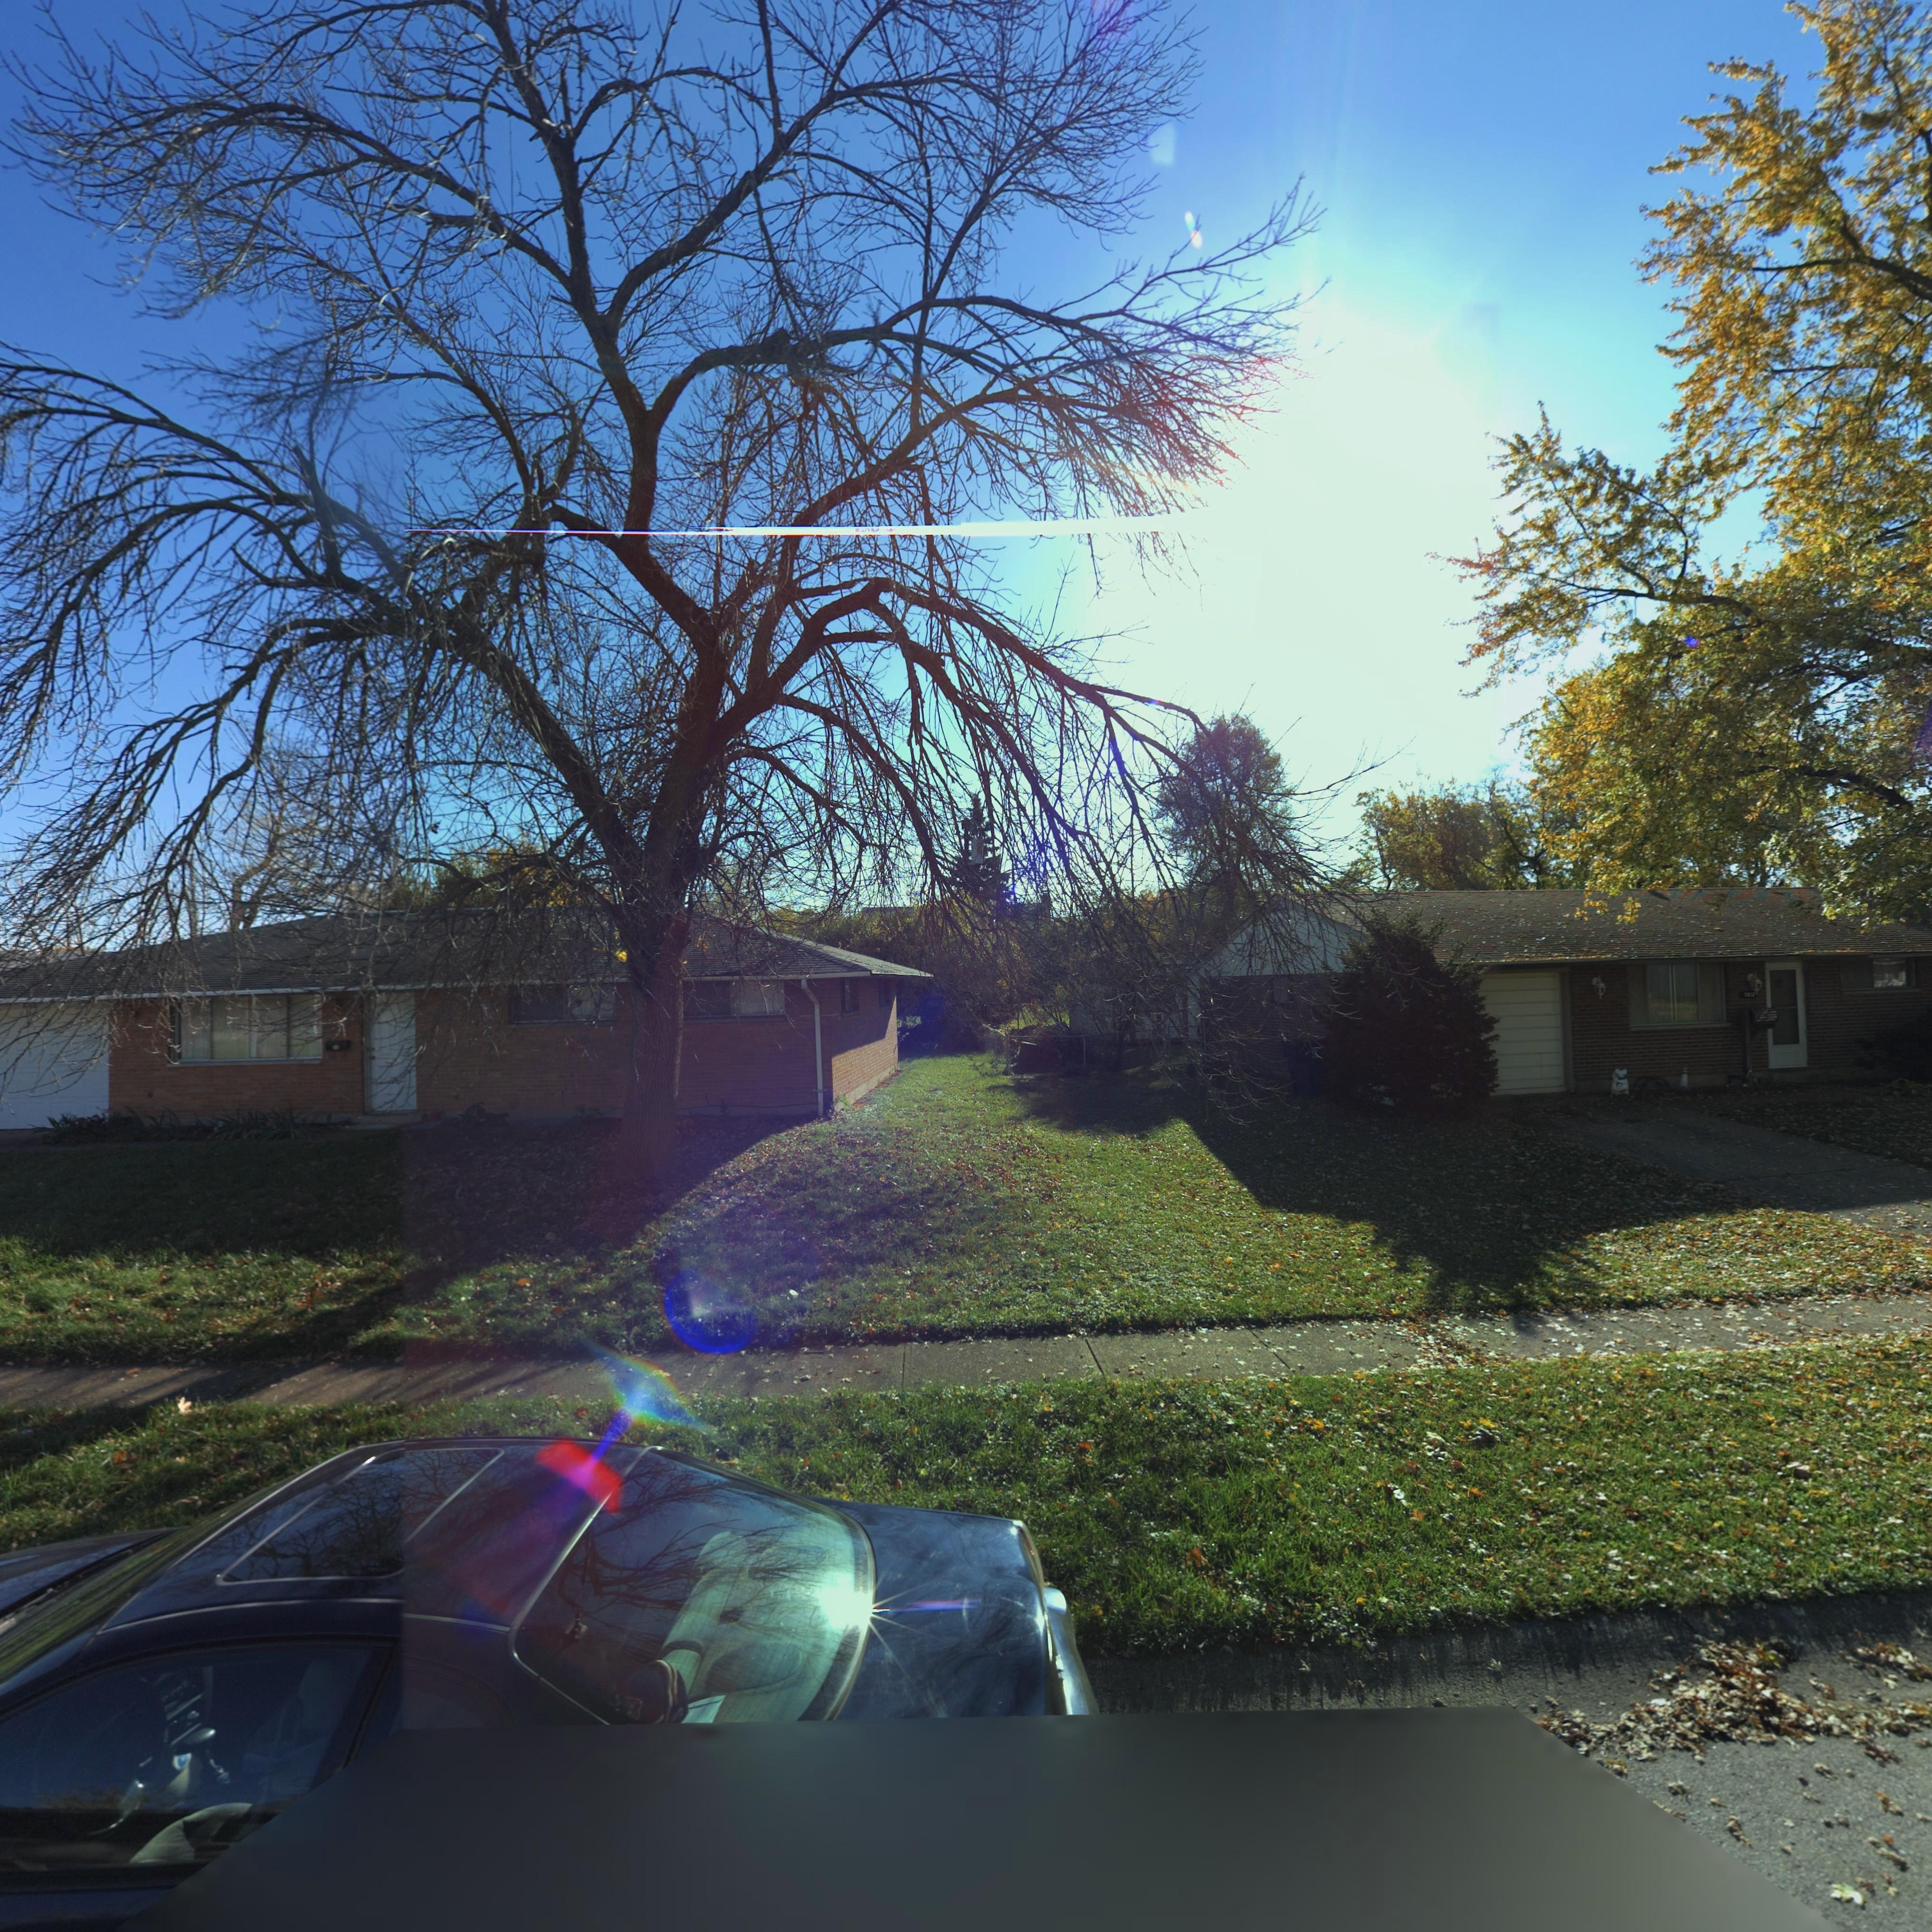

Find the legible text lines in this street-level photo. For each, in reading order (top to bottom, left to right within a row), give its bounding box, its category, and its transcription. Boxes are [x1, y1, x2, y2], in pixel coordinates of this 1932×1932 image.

[1744, 992, 1757, 997] StreetNumber: 7812